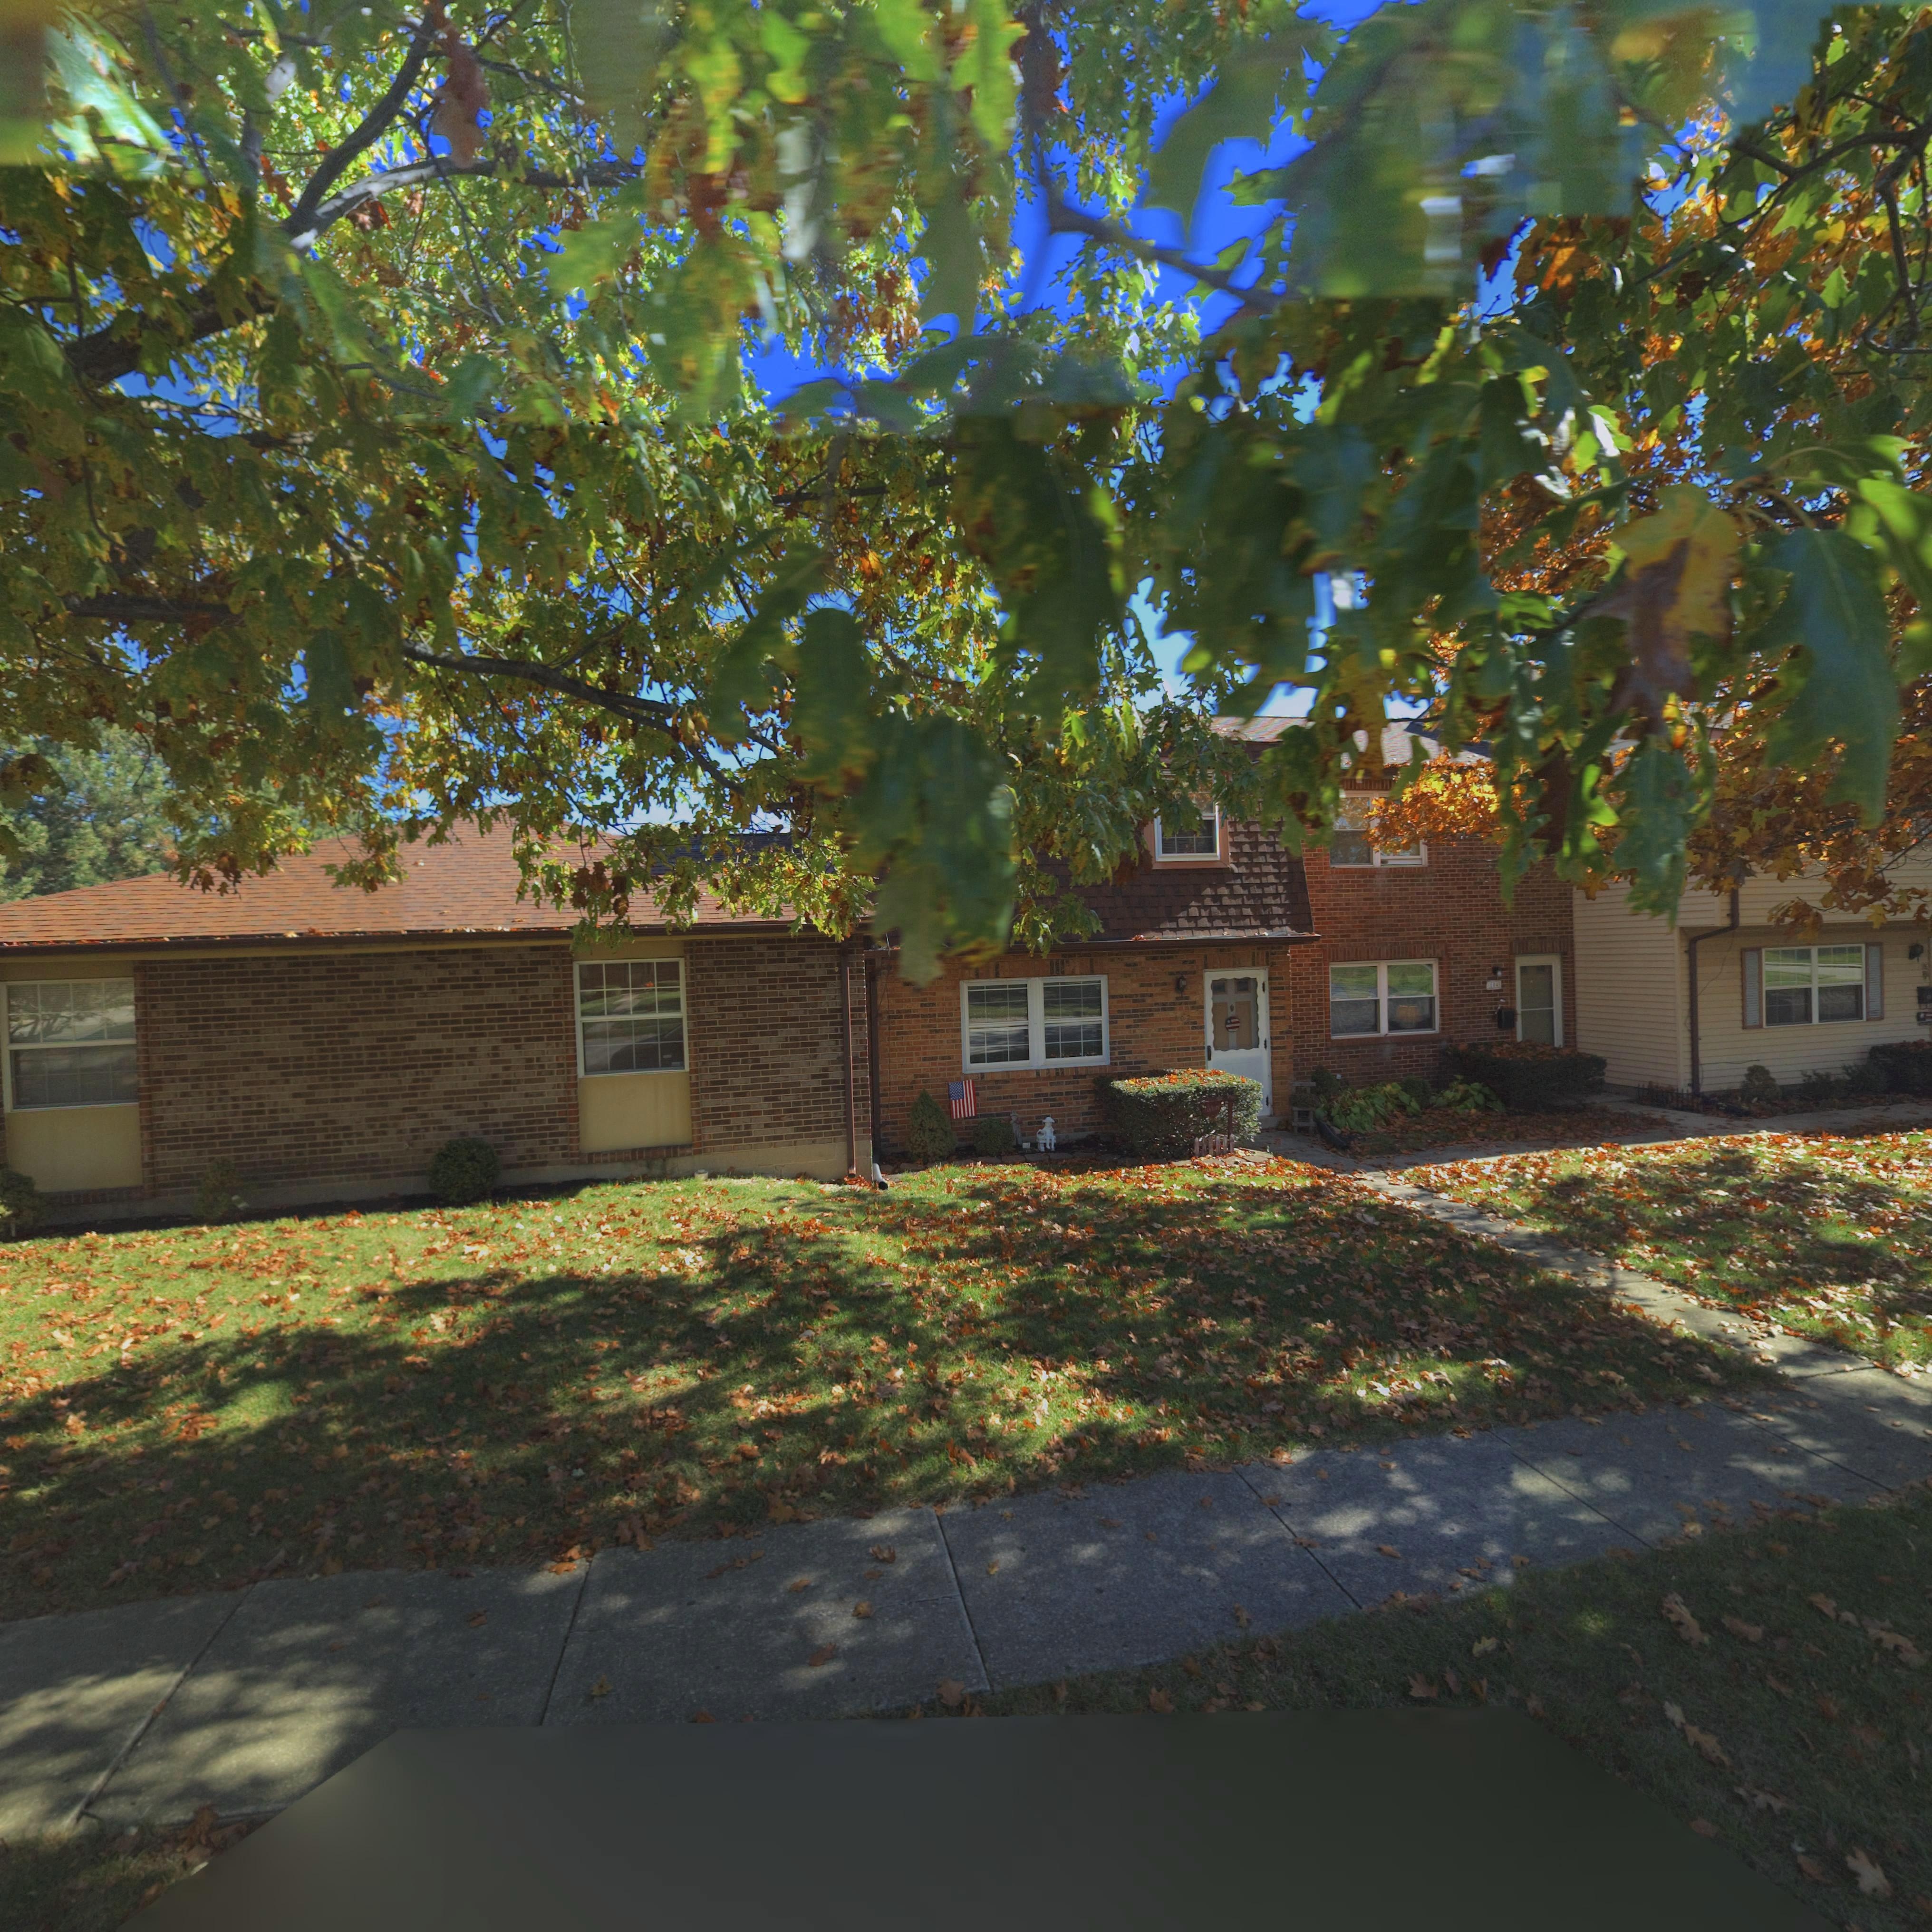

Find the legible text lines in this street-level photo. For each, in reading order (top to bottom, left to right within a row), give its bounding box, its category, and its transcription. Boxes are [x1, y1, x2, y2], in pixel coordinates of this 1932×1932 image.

[1174, 1014, 1192, 1023] StreetNumber: *02